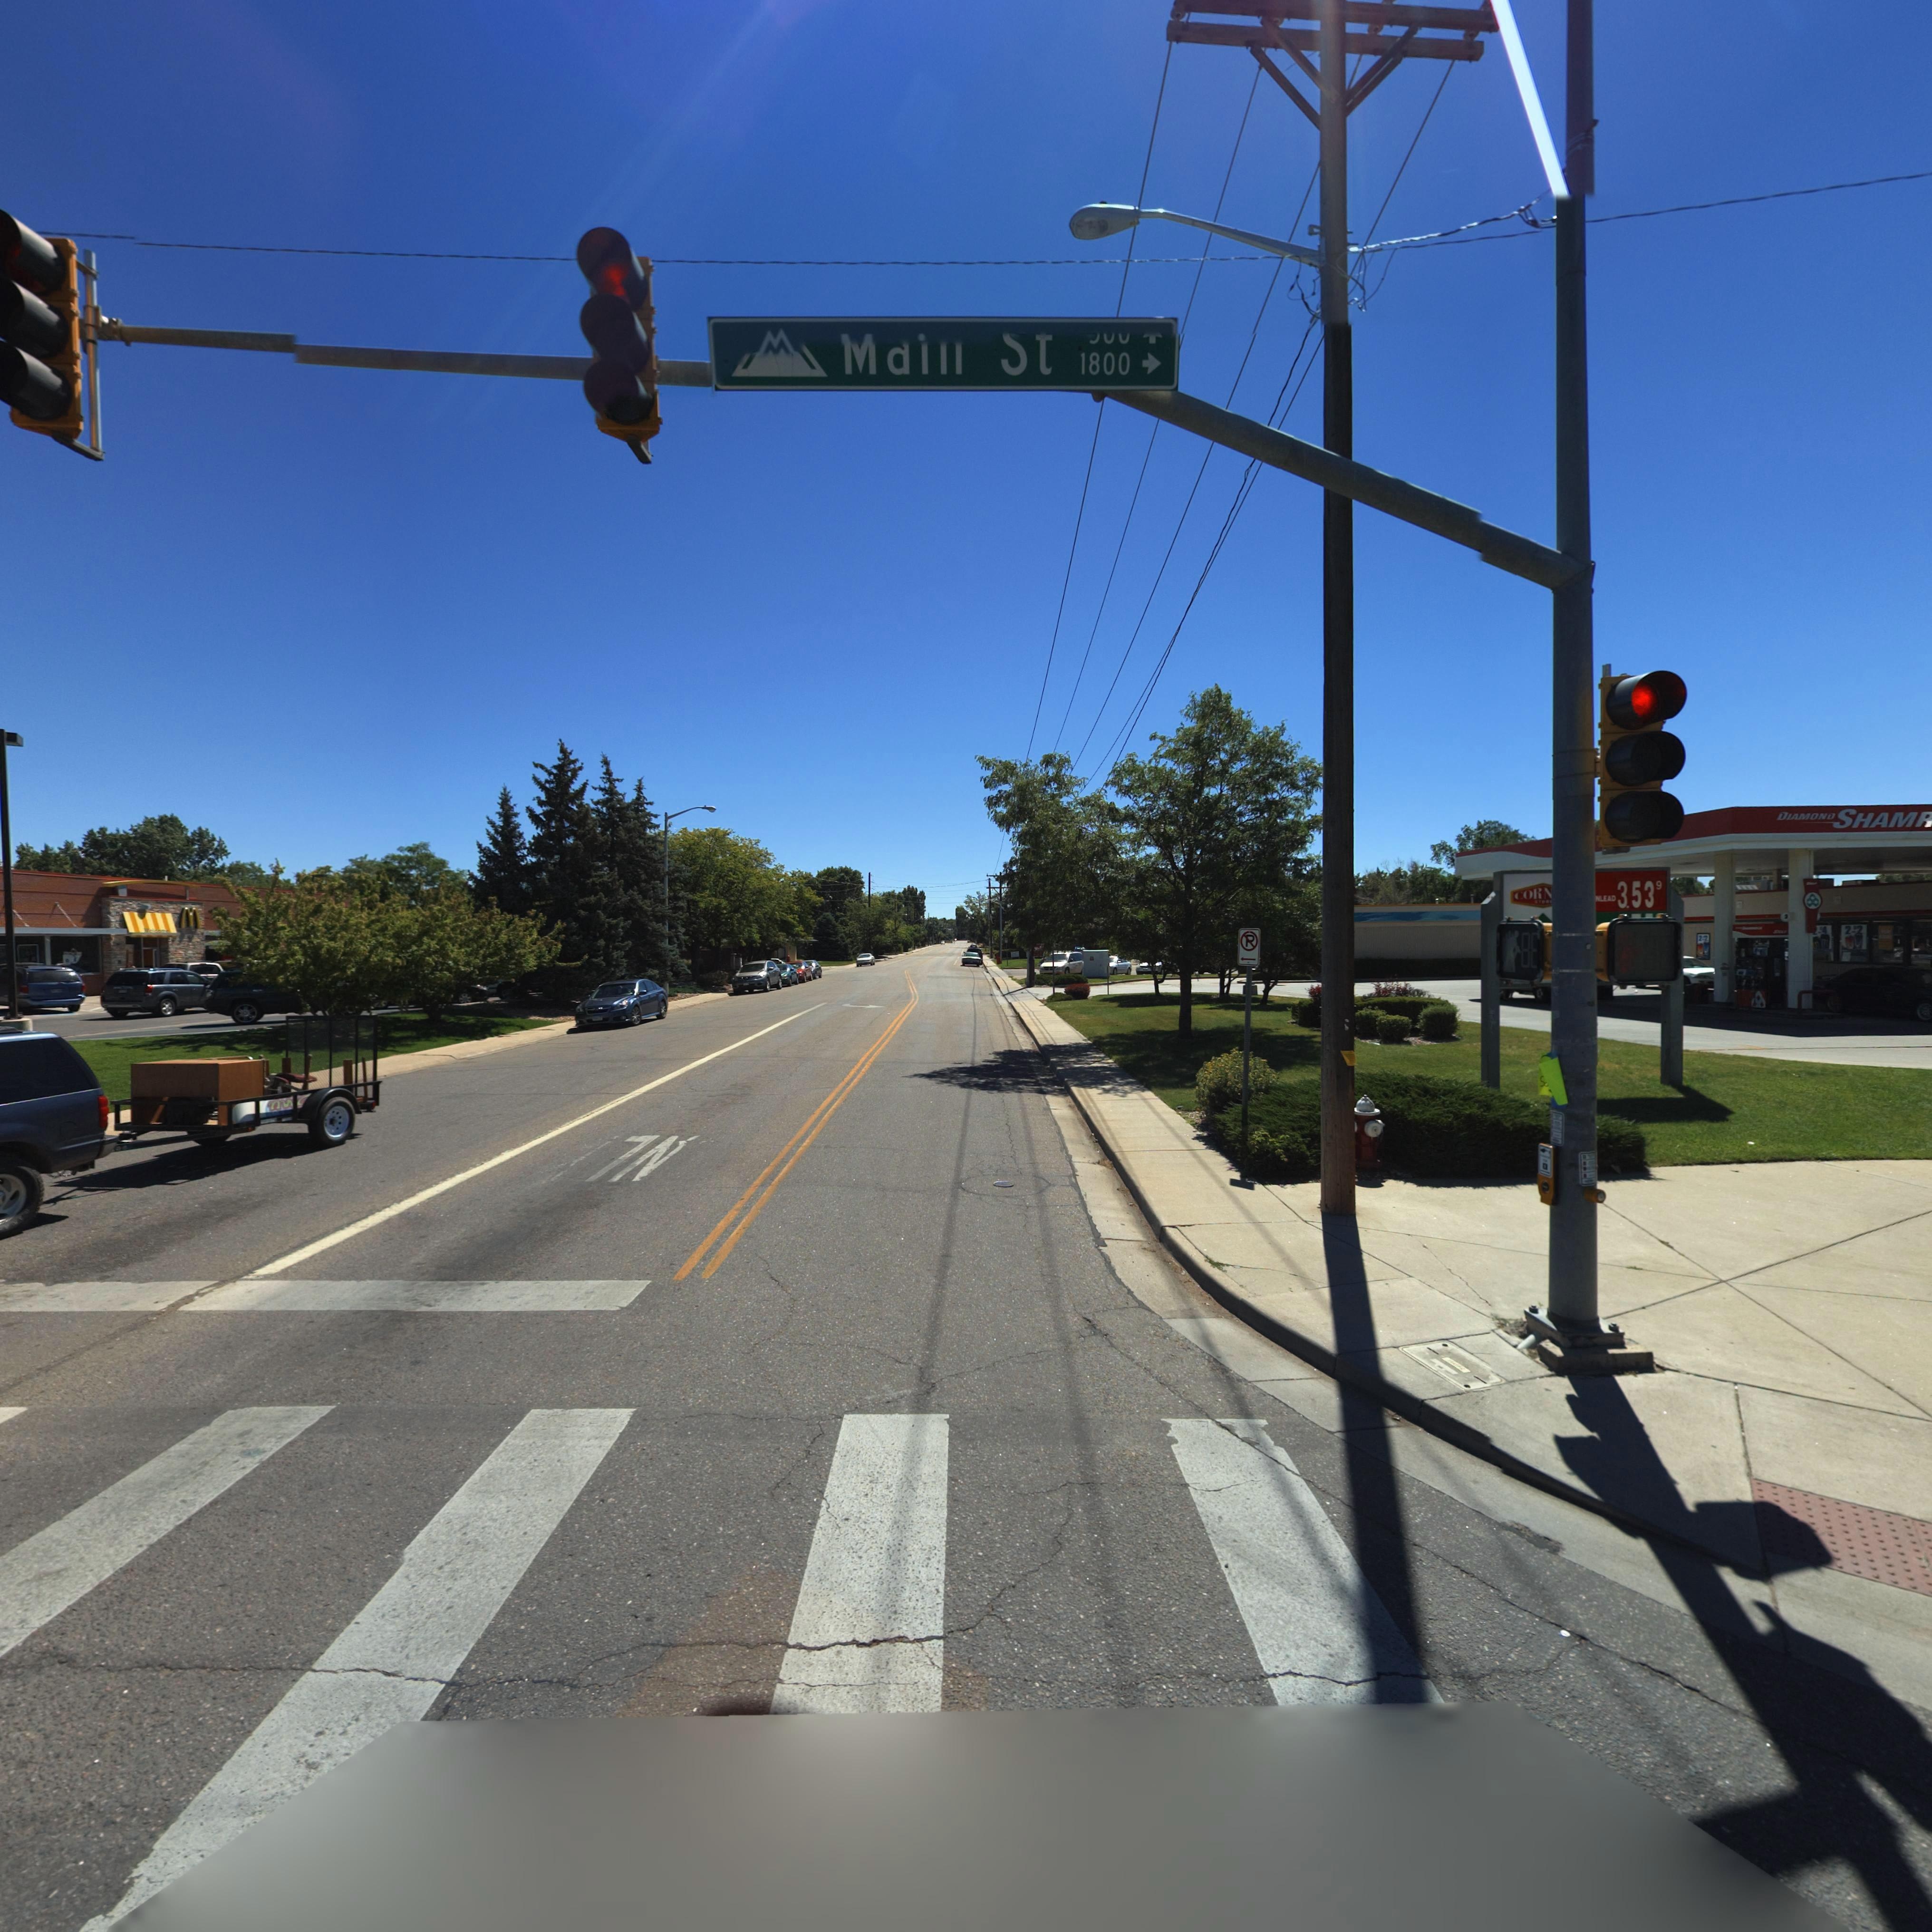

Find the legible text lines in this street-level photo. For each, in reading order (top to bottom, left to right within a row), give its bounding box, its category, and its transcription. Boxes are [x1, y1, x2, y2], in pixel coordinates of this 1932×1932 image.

[841, 328, 967, 377] StreetName: Mai*
[1081, 350, 1164, 376] StreetNumberRange: 1800->
[1776, 811, 1836, 821] BusinessName: DIAMOND
[1832, 808, 1919, 829] BusinessName: SHAM